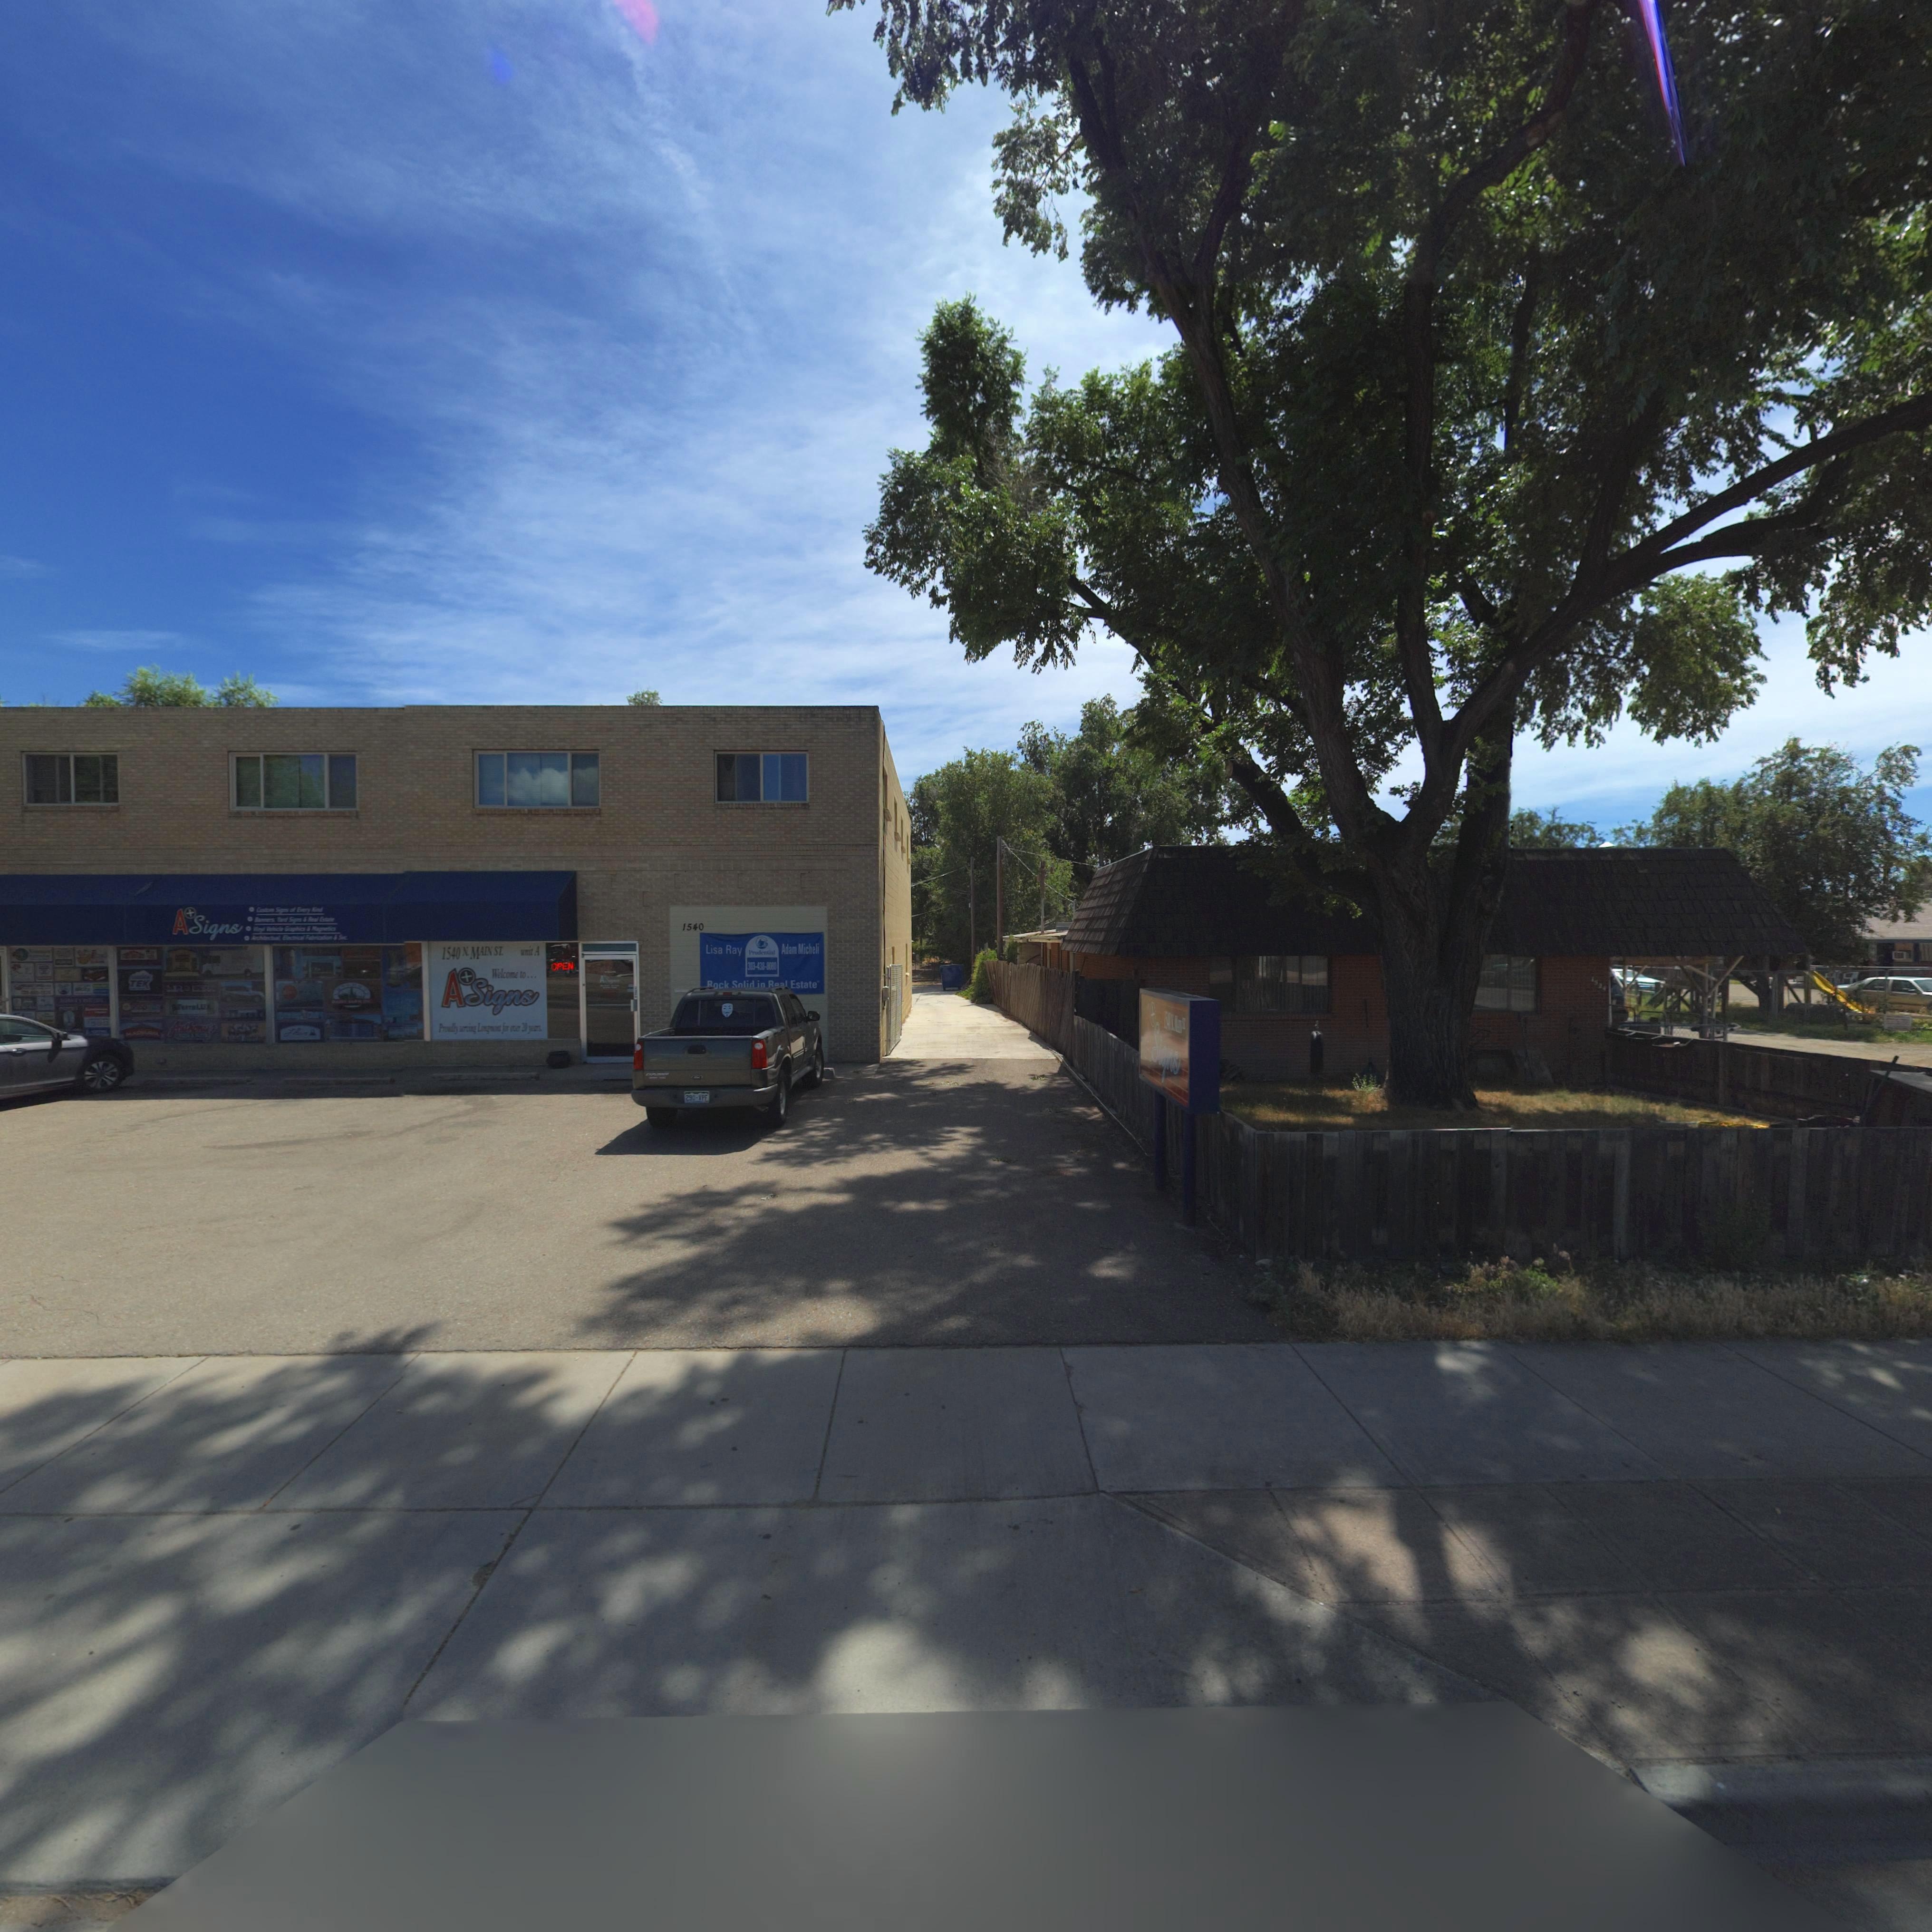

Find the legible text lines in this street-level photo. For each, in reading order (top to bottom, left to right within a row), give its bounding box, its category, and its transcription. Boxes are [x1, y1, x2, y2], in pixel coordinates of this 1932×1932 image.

[171, 905, 244, 942] BusinessName: A*Signs
[682, 923, 704, 931] StreetNumber: 1540
[441, 946, 461, 959] StreetNumber: 1540
[462, 946, 503, 959] StreetName: N. MAIN ST.
[521, 945, 539, 956] SecondaryUnitDesignator: unit A
[439, 966, 540, 1015] BusinessName: A*Signs
[599, 975, 619, 983] BusinessName: A S*g**
[1591, 976, 1606, 992] StreetNumber: 1534
[1164, 1010, 1170, 1031] StreetNumber: 154*
[1171, 1013, 1186, 1034] StreetName: N. M**N ST
[1144, 1000, 1180, 1084] BusinessName: A*Signs